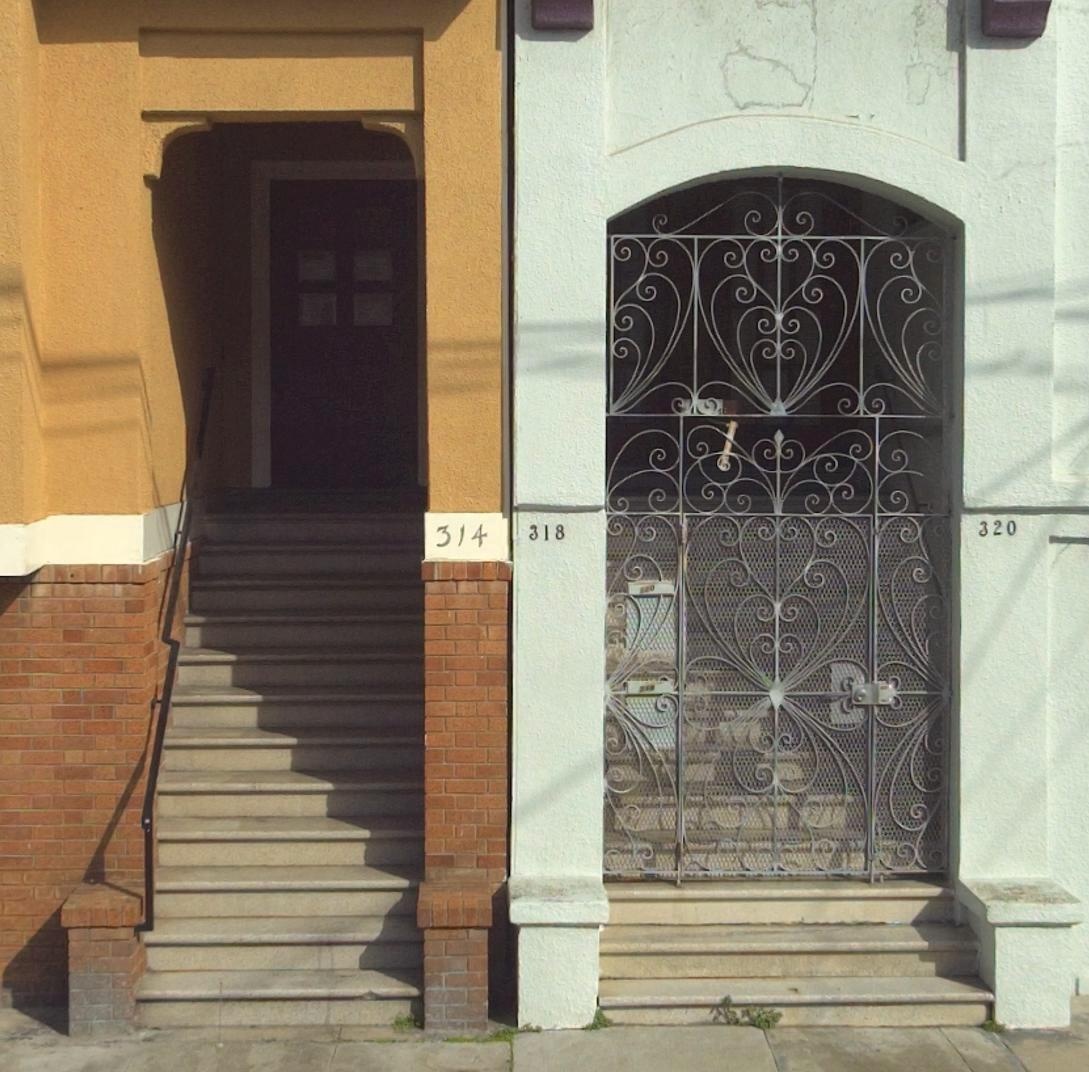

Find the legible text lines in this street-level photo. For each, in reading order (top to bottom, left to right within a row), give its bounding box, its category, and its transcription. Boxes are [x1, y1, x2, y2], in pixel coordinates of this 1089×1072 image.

[434, 522, 488, 549] StreetNumber: 314
[527, 522, 566, 542] StreetNumber: 318
[977, 518, 1017, 538] StreetNumber: 320